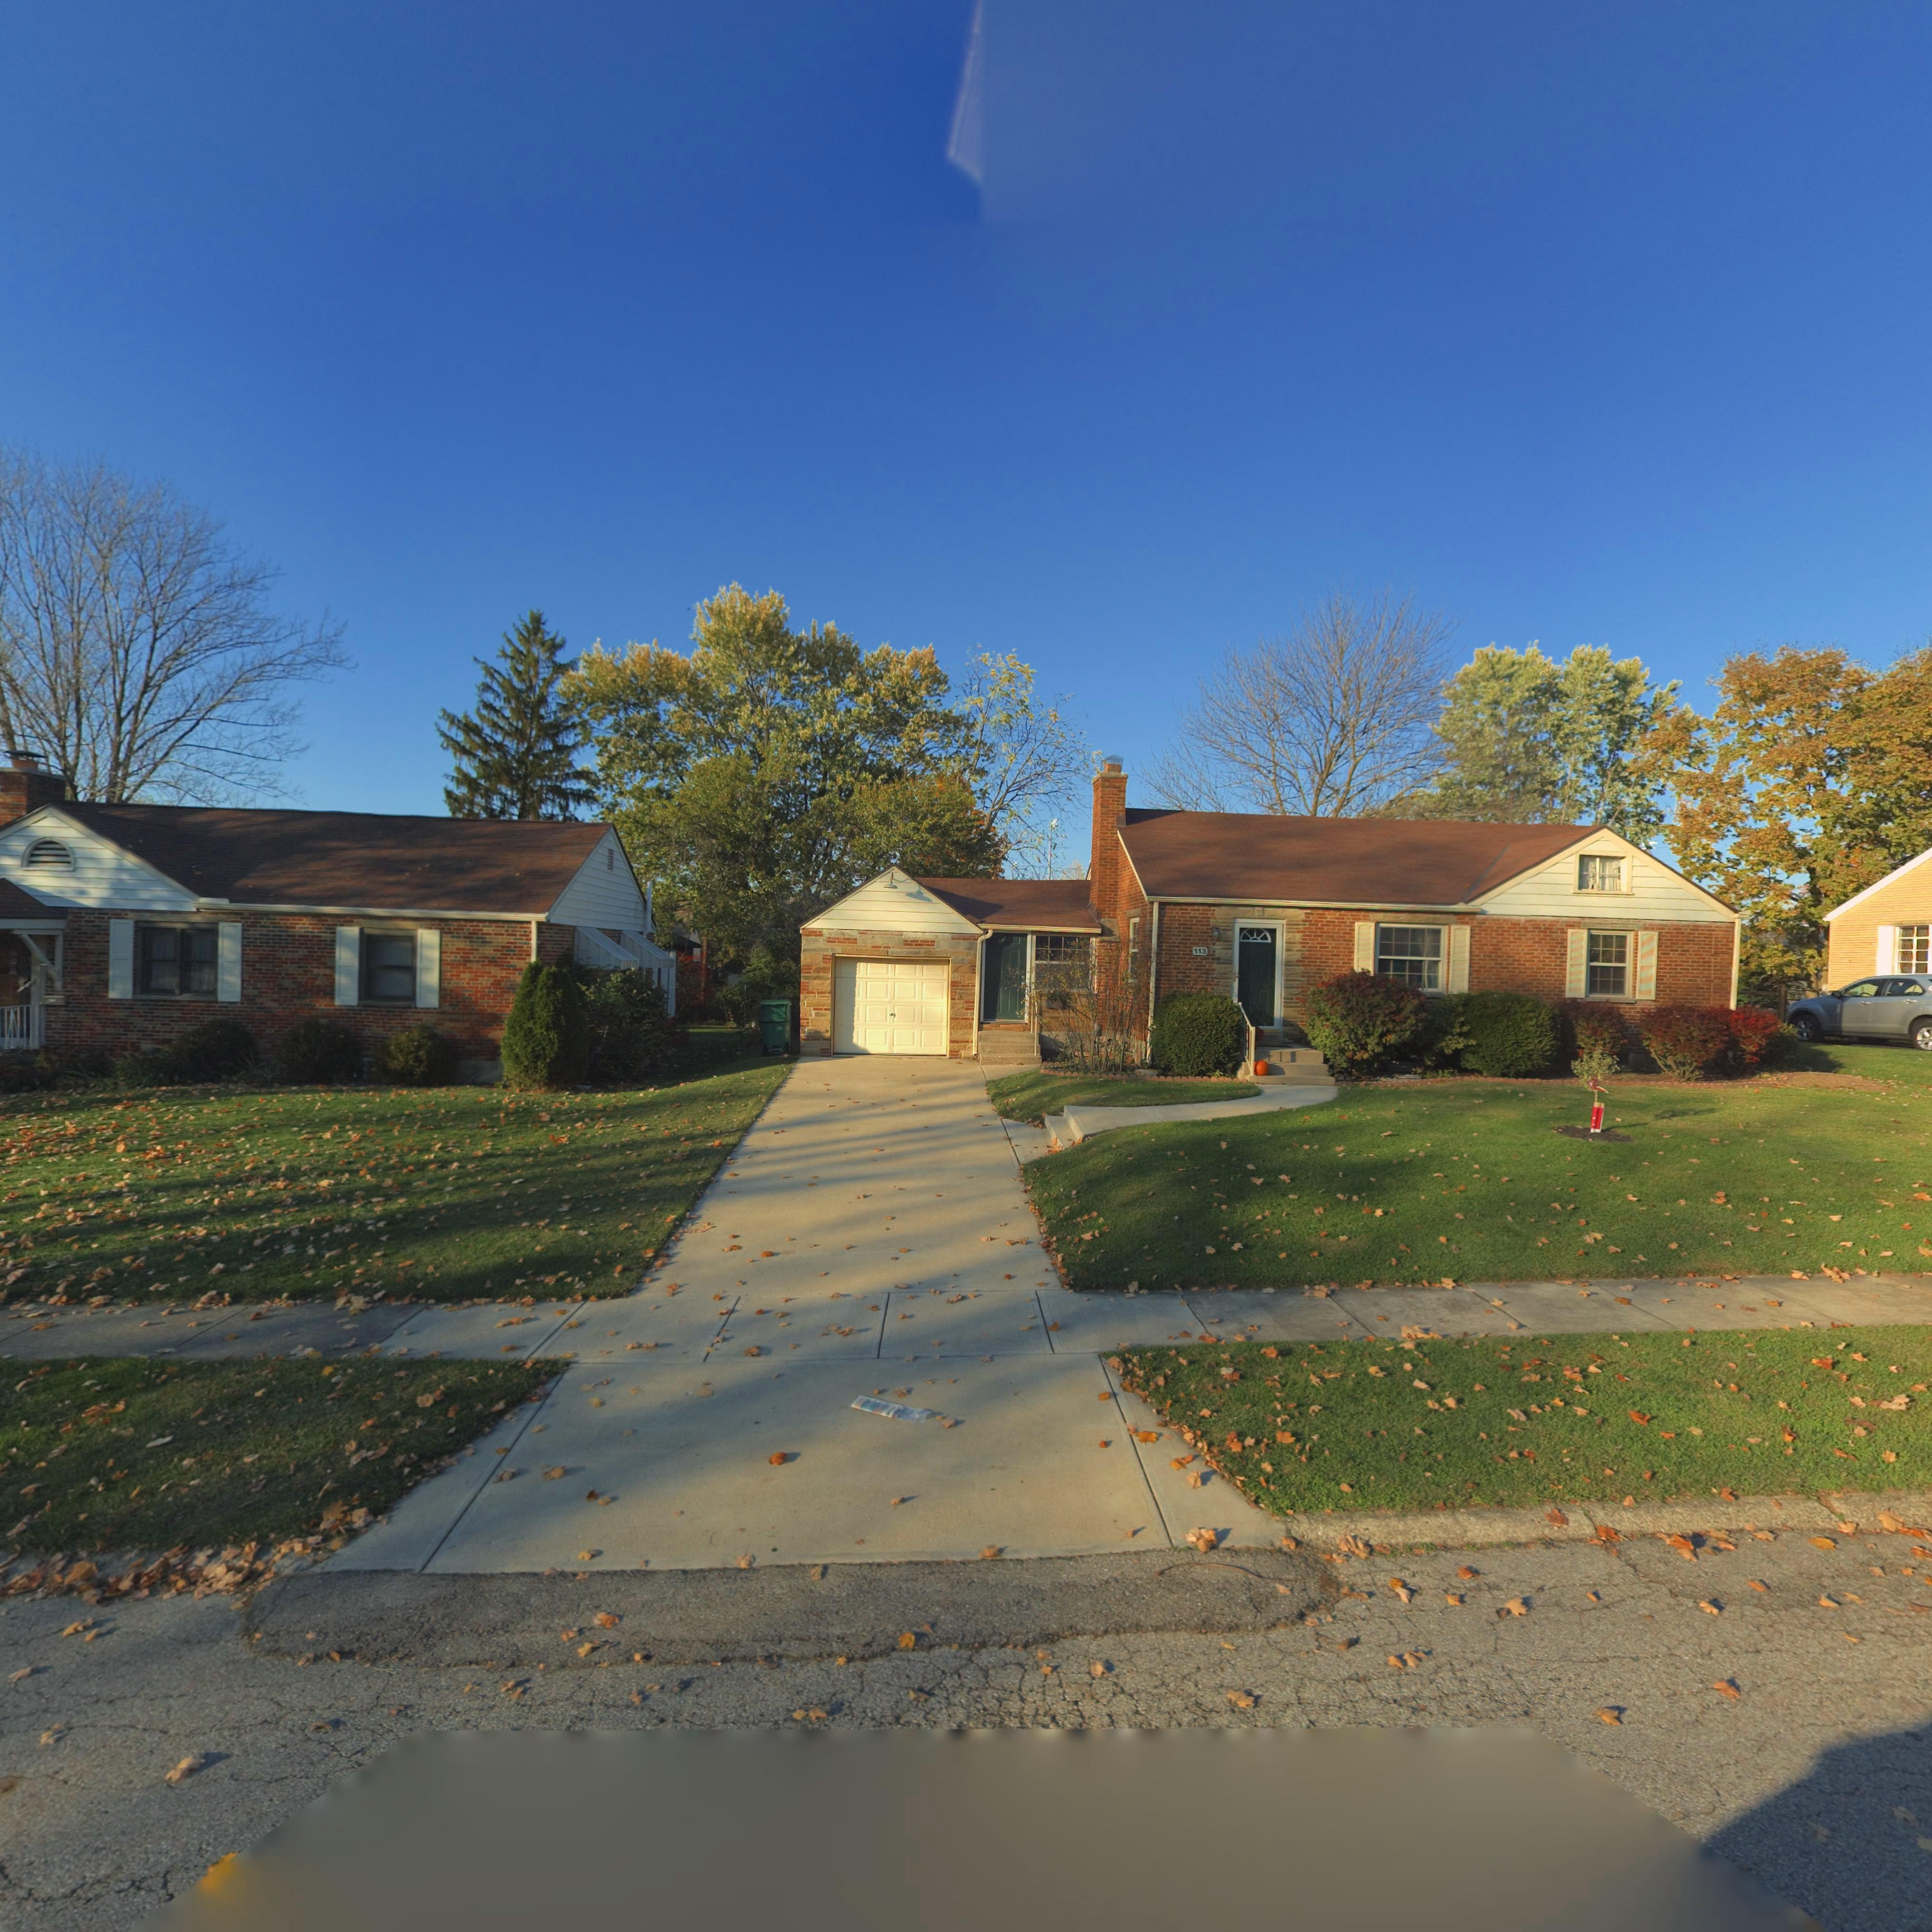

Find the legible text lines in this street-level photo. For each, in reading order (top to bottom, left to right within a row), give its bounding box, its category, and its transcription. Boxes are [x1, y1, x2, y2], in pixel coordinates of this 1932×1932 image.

[1193, 947, 1207, 955] StreetNumber: 113